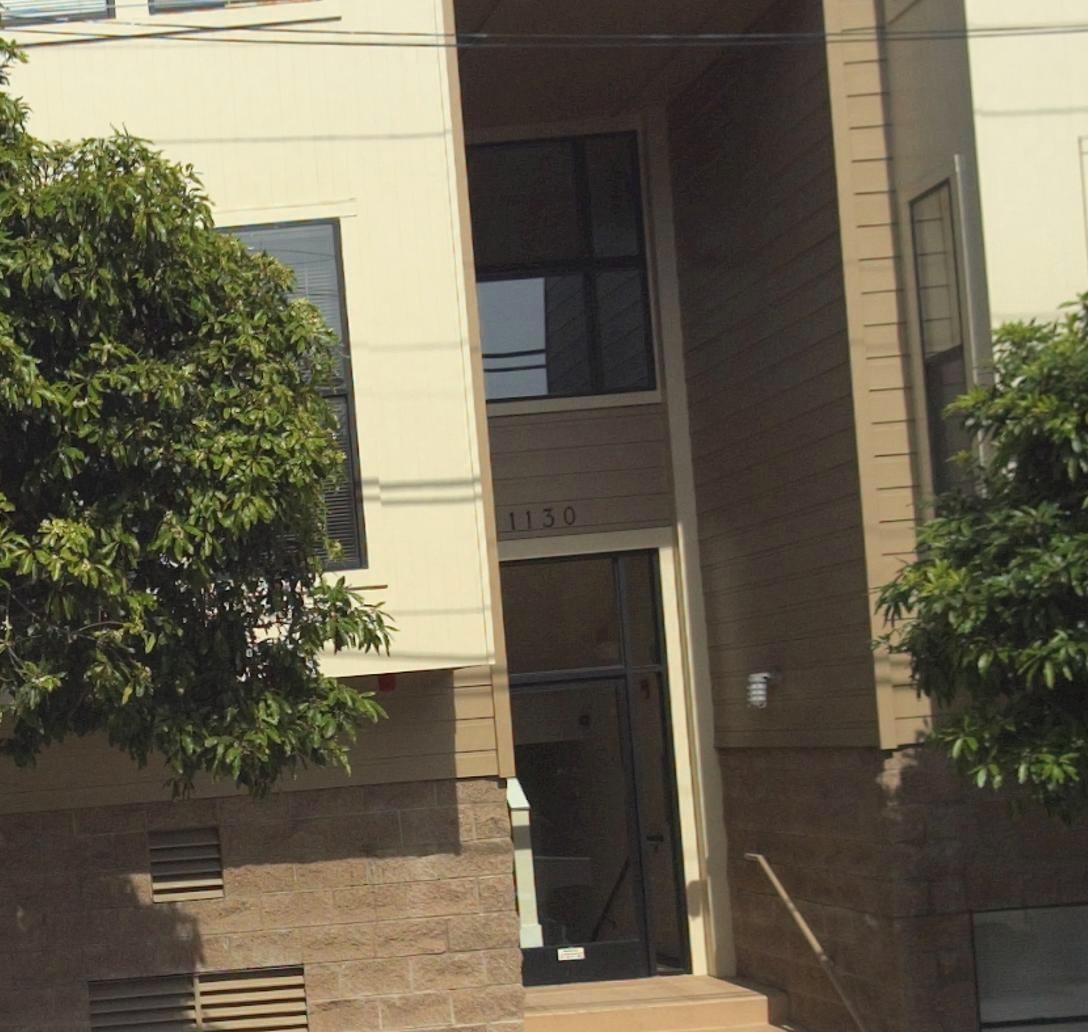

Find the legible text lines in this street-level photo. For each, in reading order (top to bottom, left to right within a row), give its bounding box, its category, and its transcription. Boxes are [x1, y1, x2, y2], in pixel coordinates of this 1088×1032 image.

[507, 503, 578, 534] StreetNumber: 1130